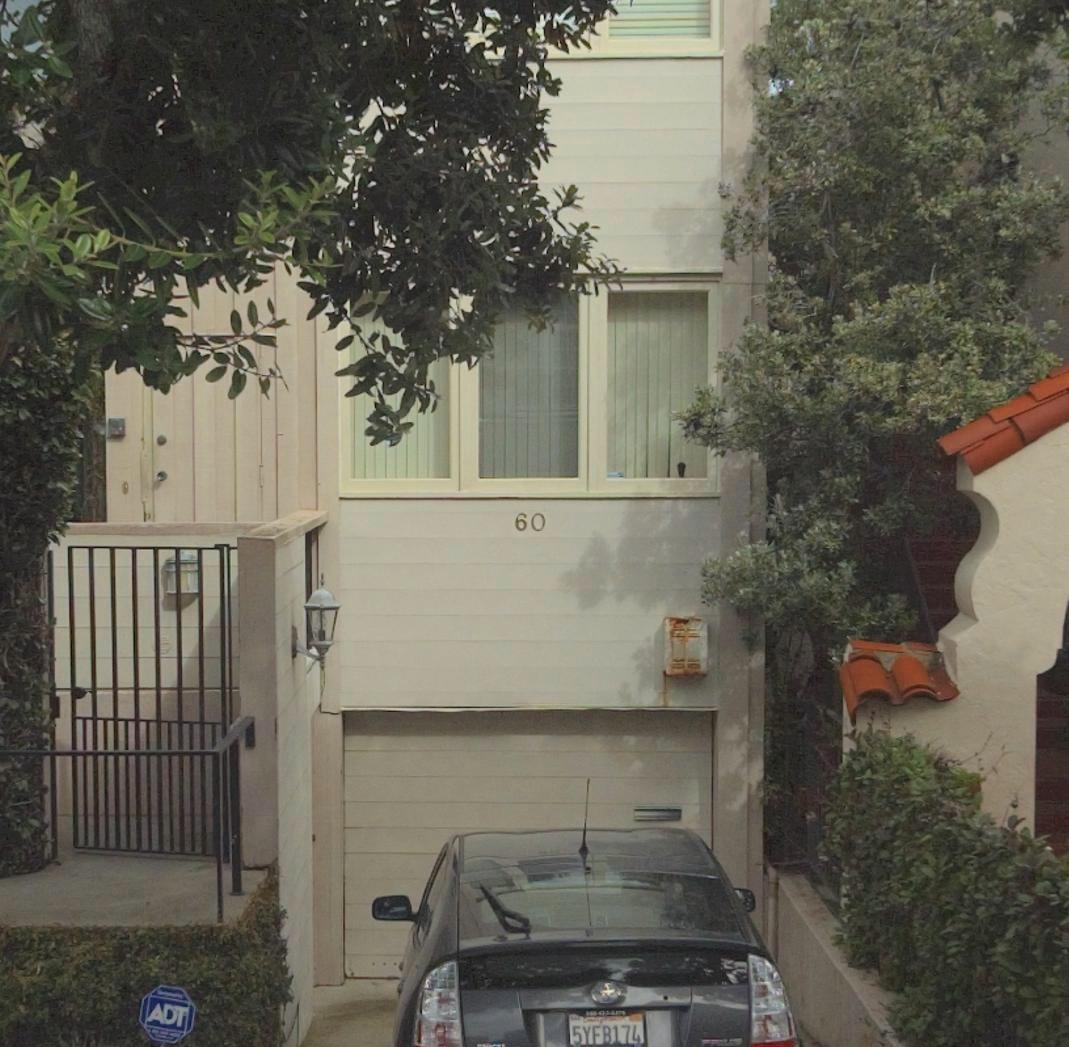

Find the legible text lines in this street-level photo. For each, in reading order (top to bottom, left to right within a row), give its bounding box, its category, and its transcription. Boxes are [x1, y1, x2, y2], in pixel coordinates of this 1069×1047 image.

[515, 511, 546, 533] StreetNumber: 60
[143, 1002, 189, 1029] None: ADT
[570, 1023, 641, 1045] None: 5YFB174